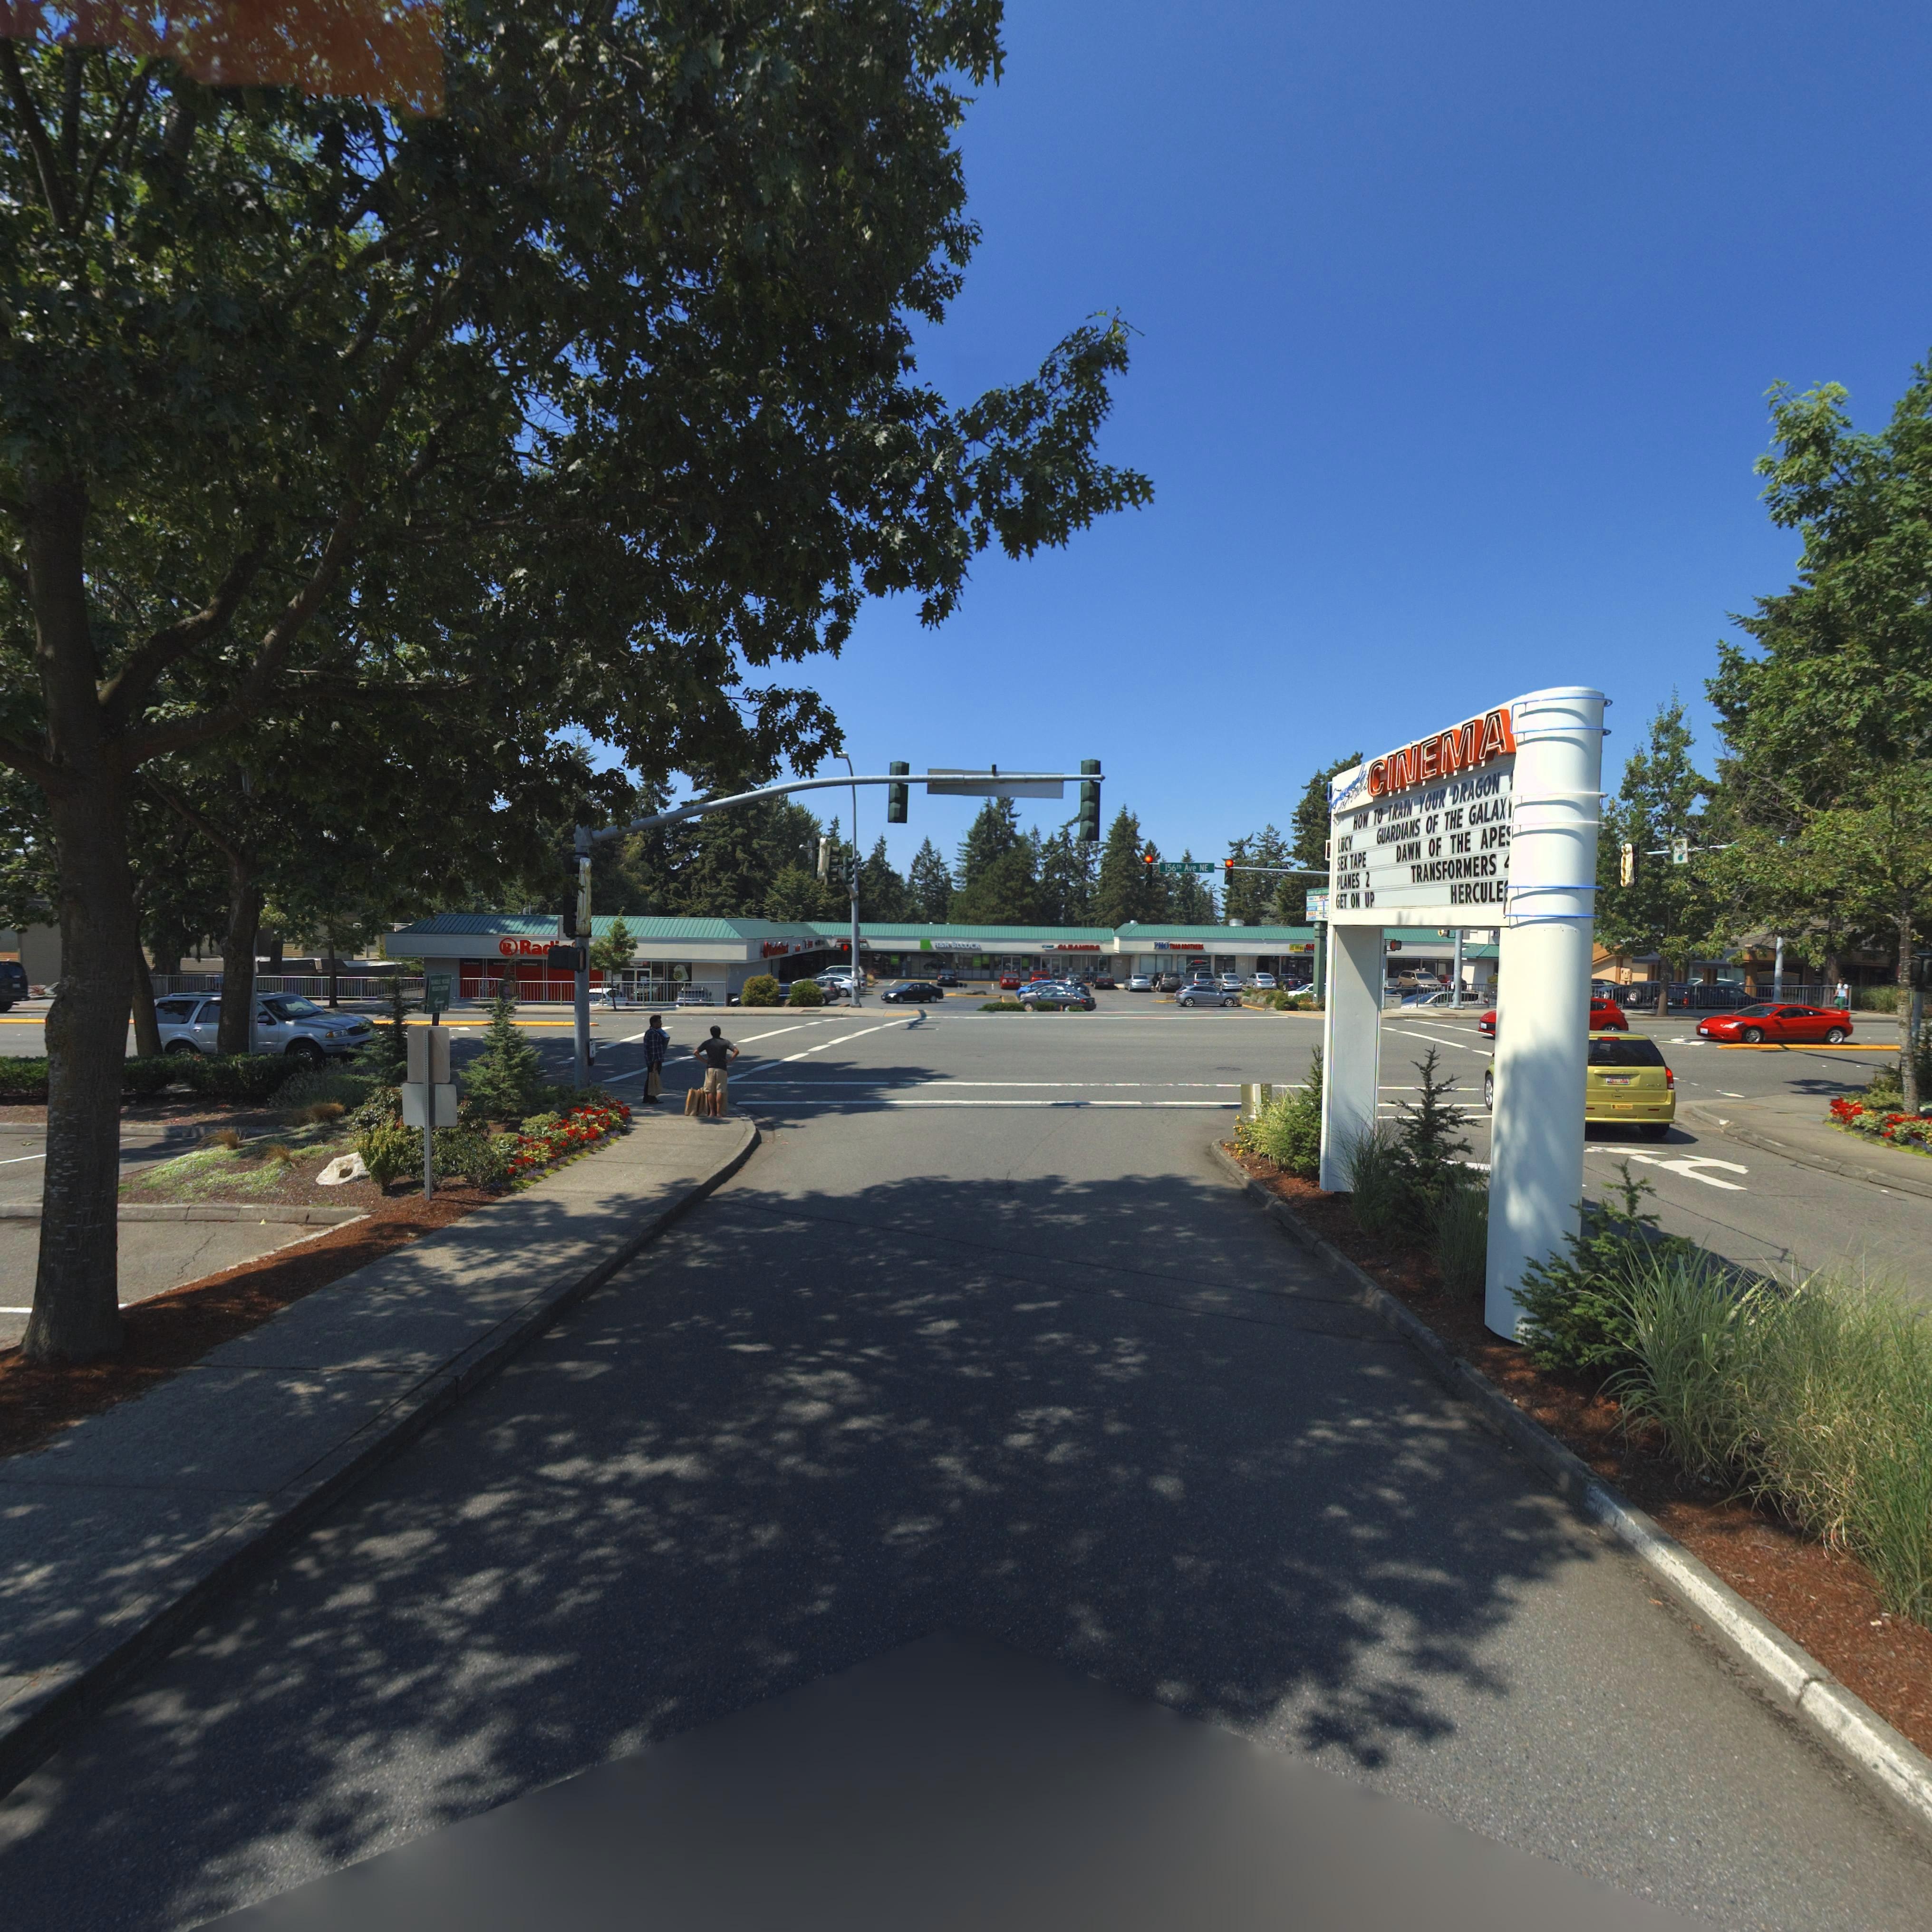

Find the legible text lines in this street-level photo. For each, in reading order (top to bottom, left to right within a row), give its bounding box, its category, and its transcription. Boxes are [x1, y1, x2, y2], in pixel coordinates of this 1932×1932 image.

[1367, 711, 1507, 795] BusinessName: CINEMA
[1165, 863, 1208, 872] StreetName: 156th Ave NE
[519, 939, 543, 955] BusinessName: Ra
[934, 941, 981, 948] BusinessName: H*R BL*OCK
[1057, 944, 1100, 950] BusinessName: CLEAN**S
[1153, 941, 1170, 949] BusinessName: PH*